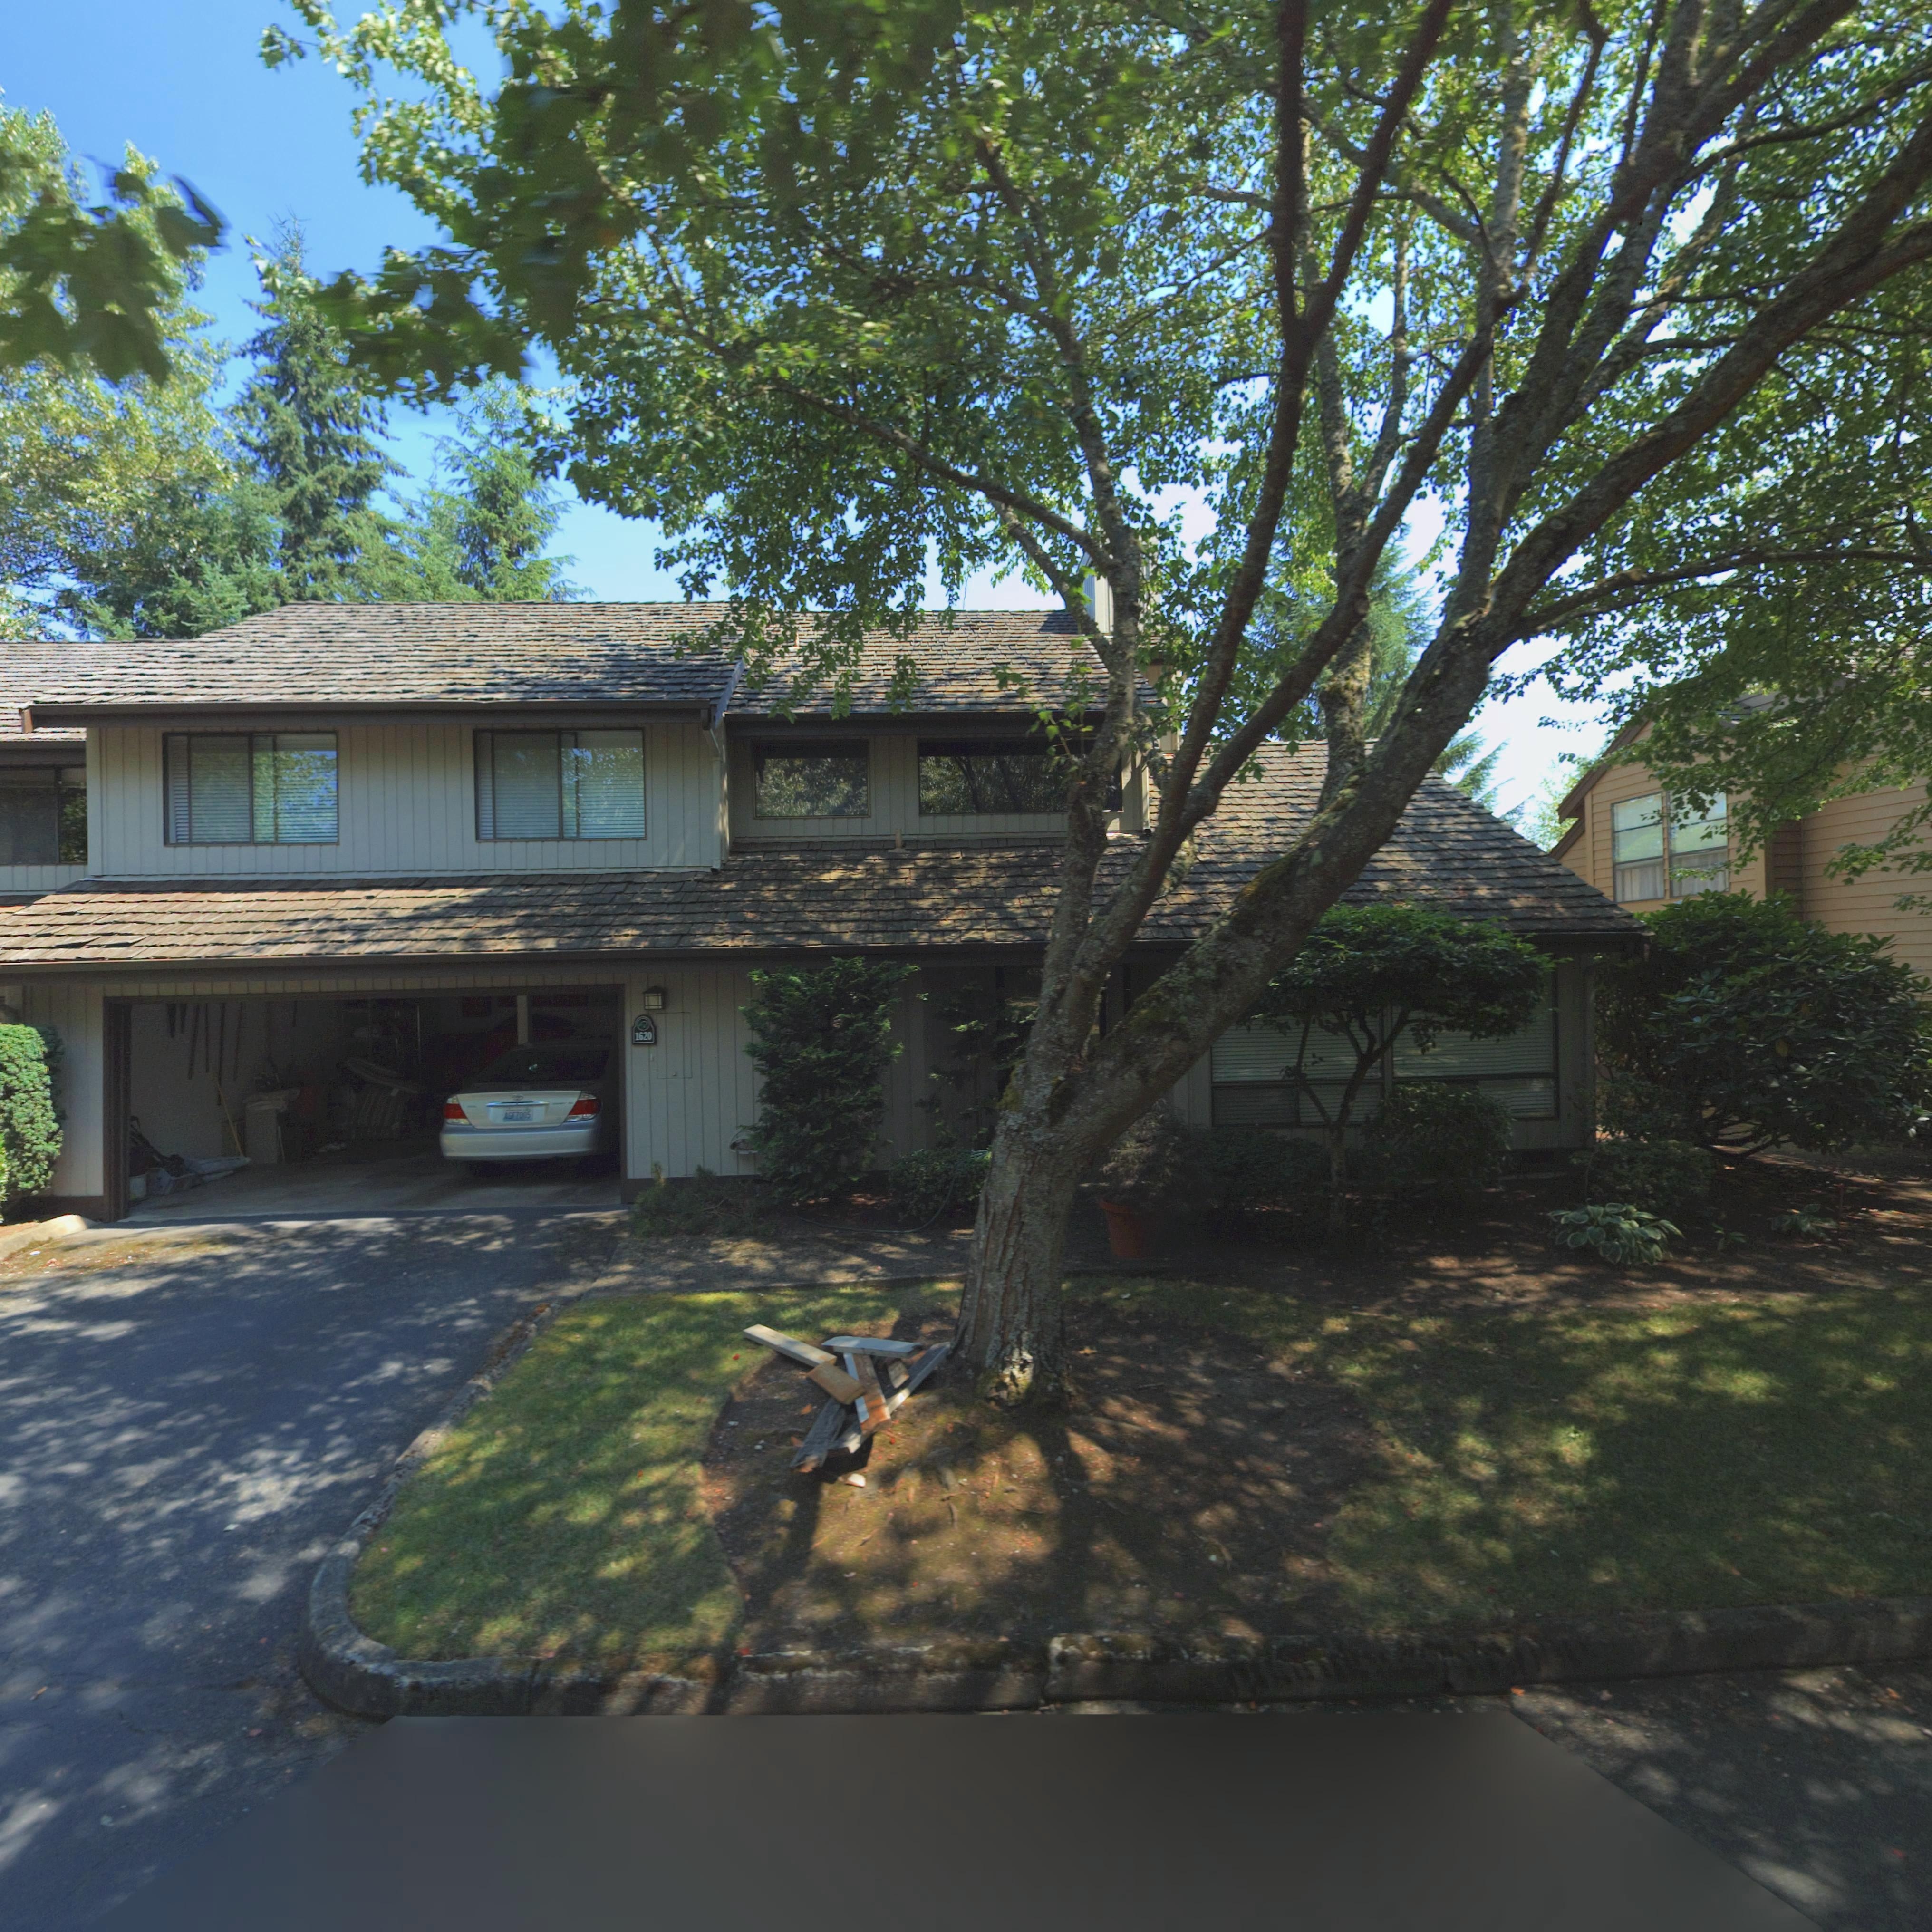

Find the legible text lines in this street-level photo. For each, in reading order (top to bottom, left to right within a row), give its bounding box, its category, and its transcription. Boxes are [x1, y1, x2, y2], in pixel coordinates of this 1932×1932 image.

[635, 1031, 652, 1040] StreetNumber: 1620